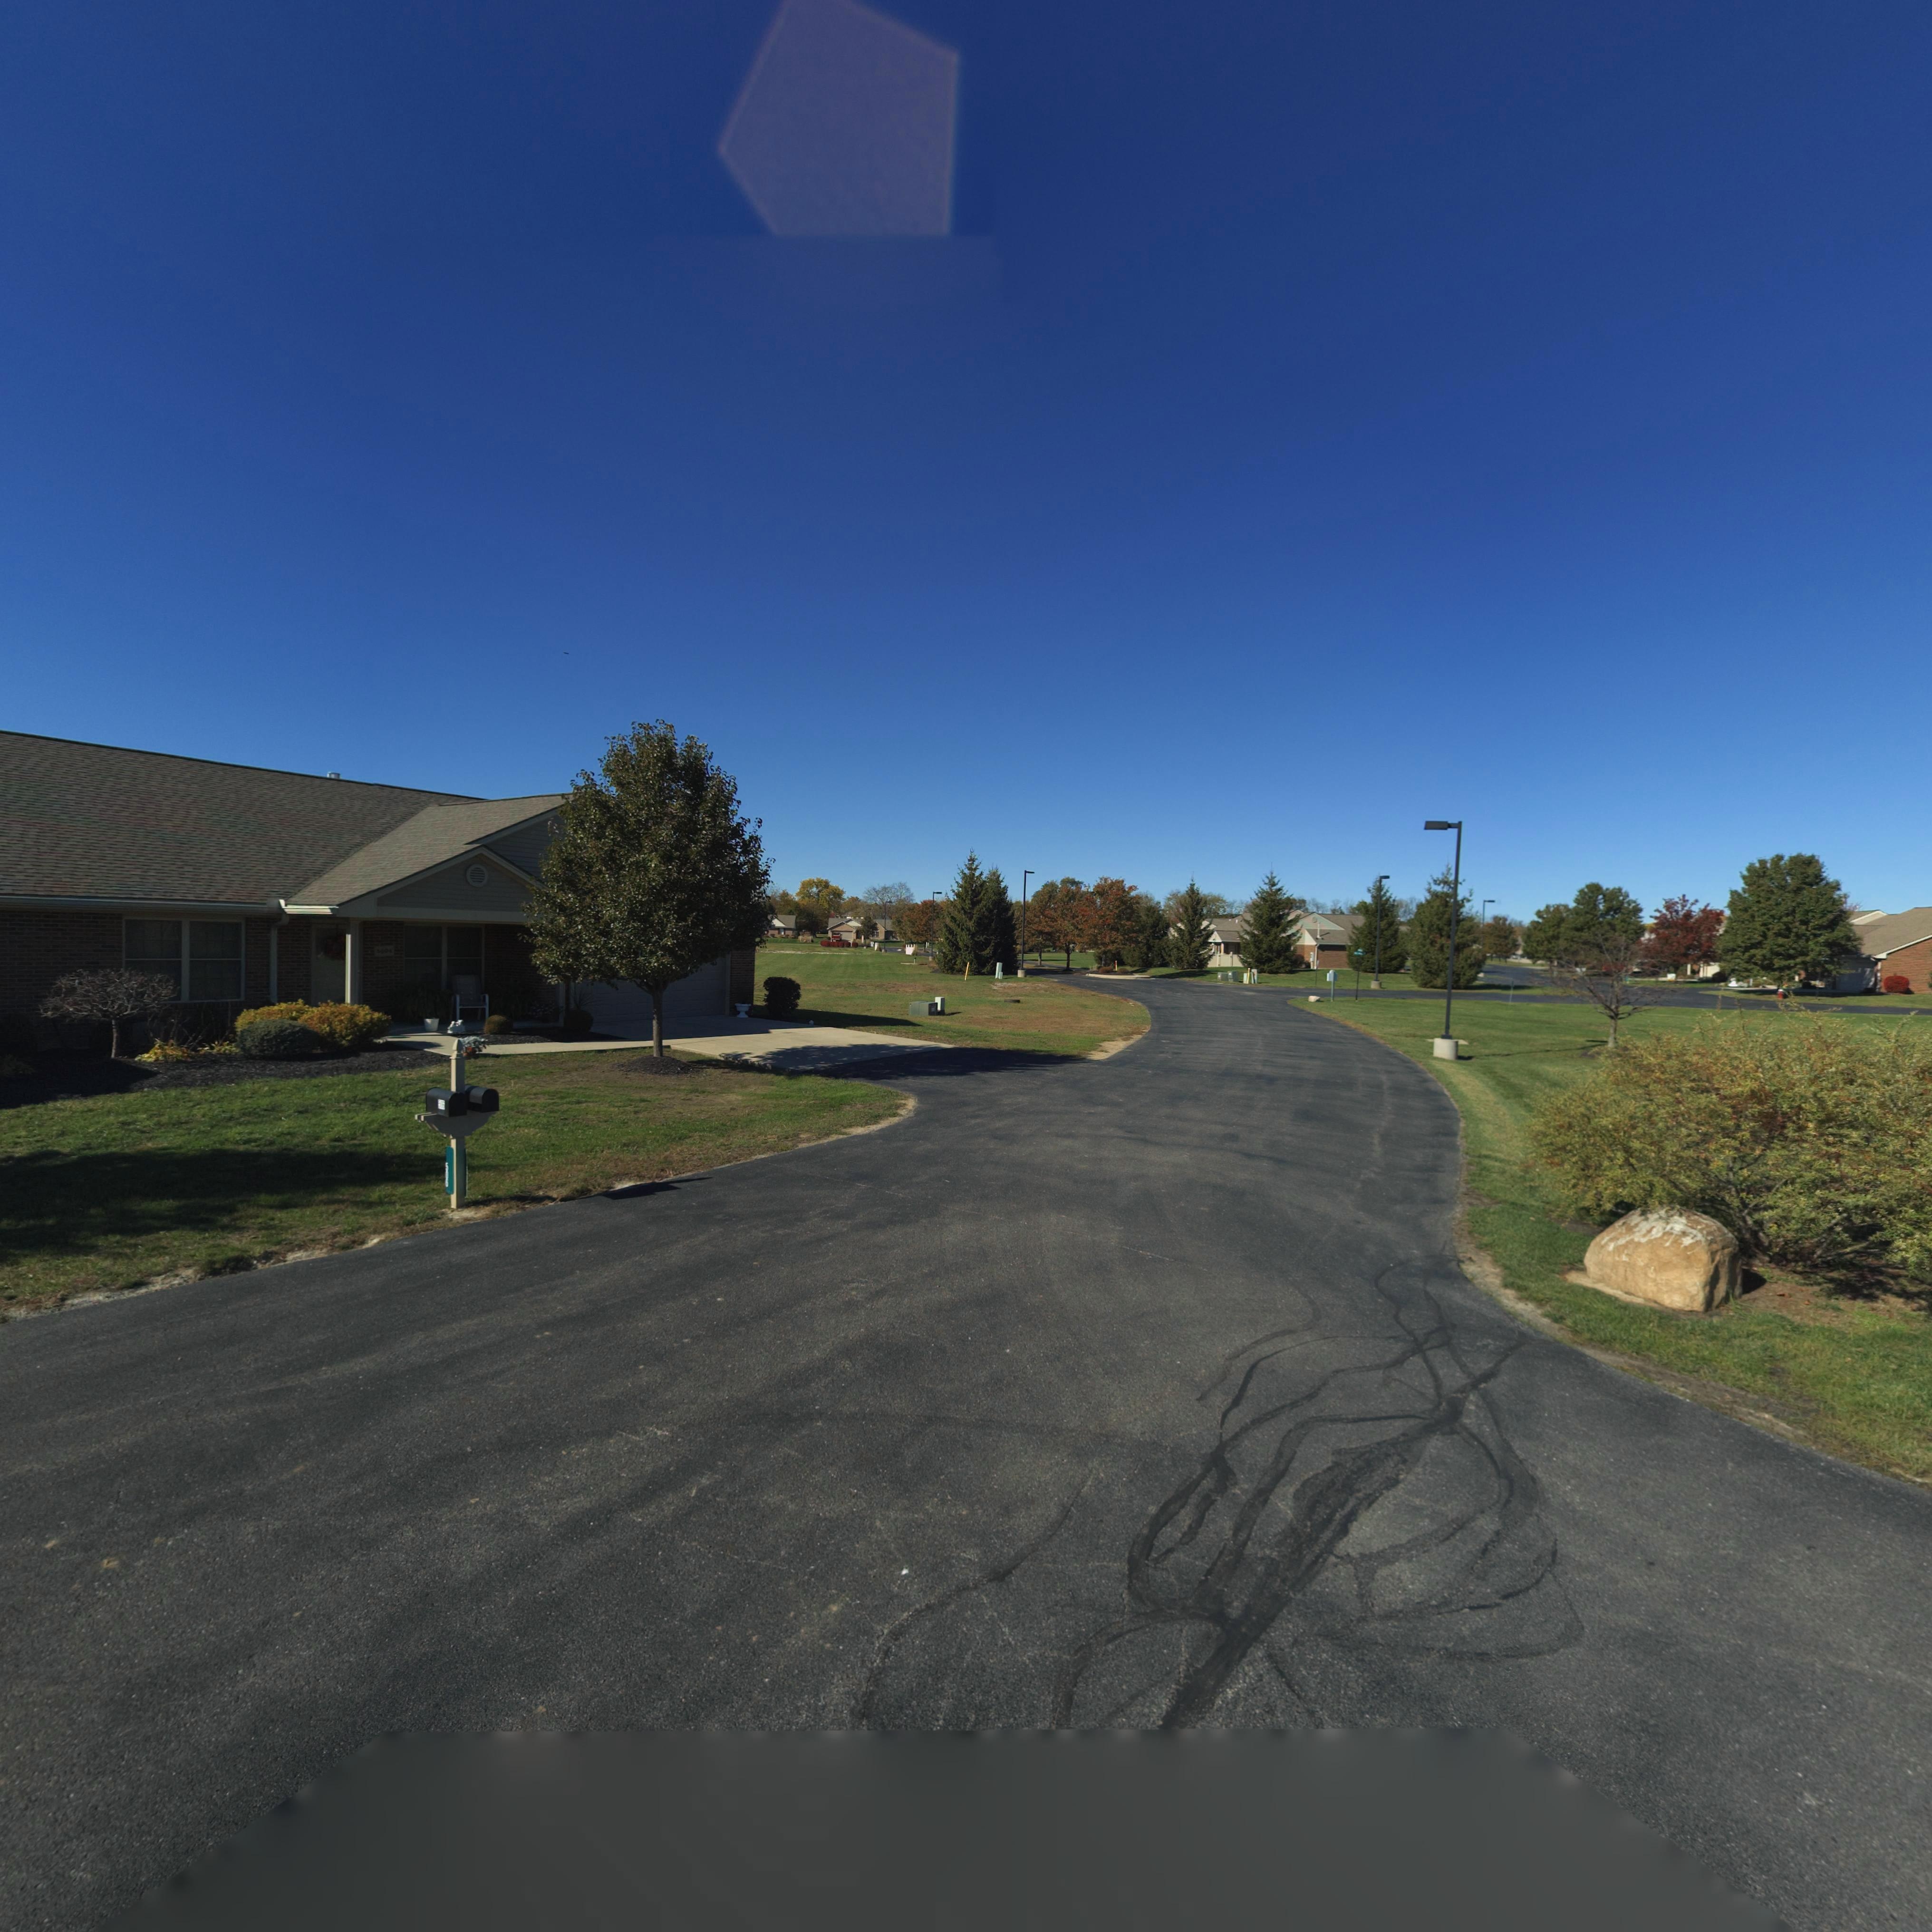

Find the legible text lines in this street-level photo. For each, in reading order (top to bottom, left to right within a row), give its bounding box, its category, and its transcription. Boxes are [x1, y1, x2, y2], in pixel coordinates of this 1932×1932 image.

[376, 948, 392, 954] StreetNumber: 5*04
[438, 1099, 445, 1110] StreetNumber: 506
[445, 1161, 449, 1188] StreetNumber: 506